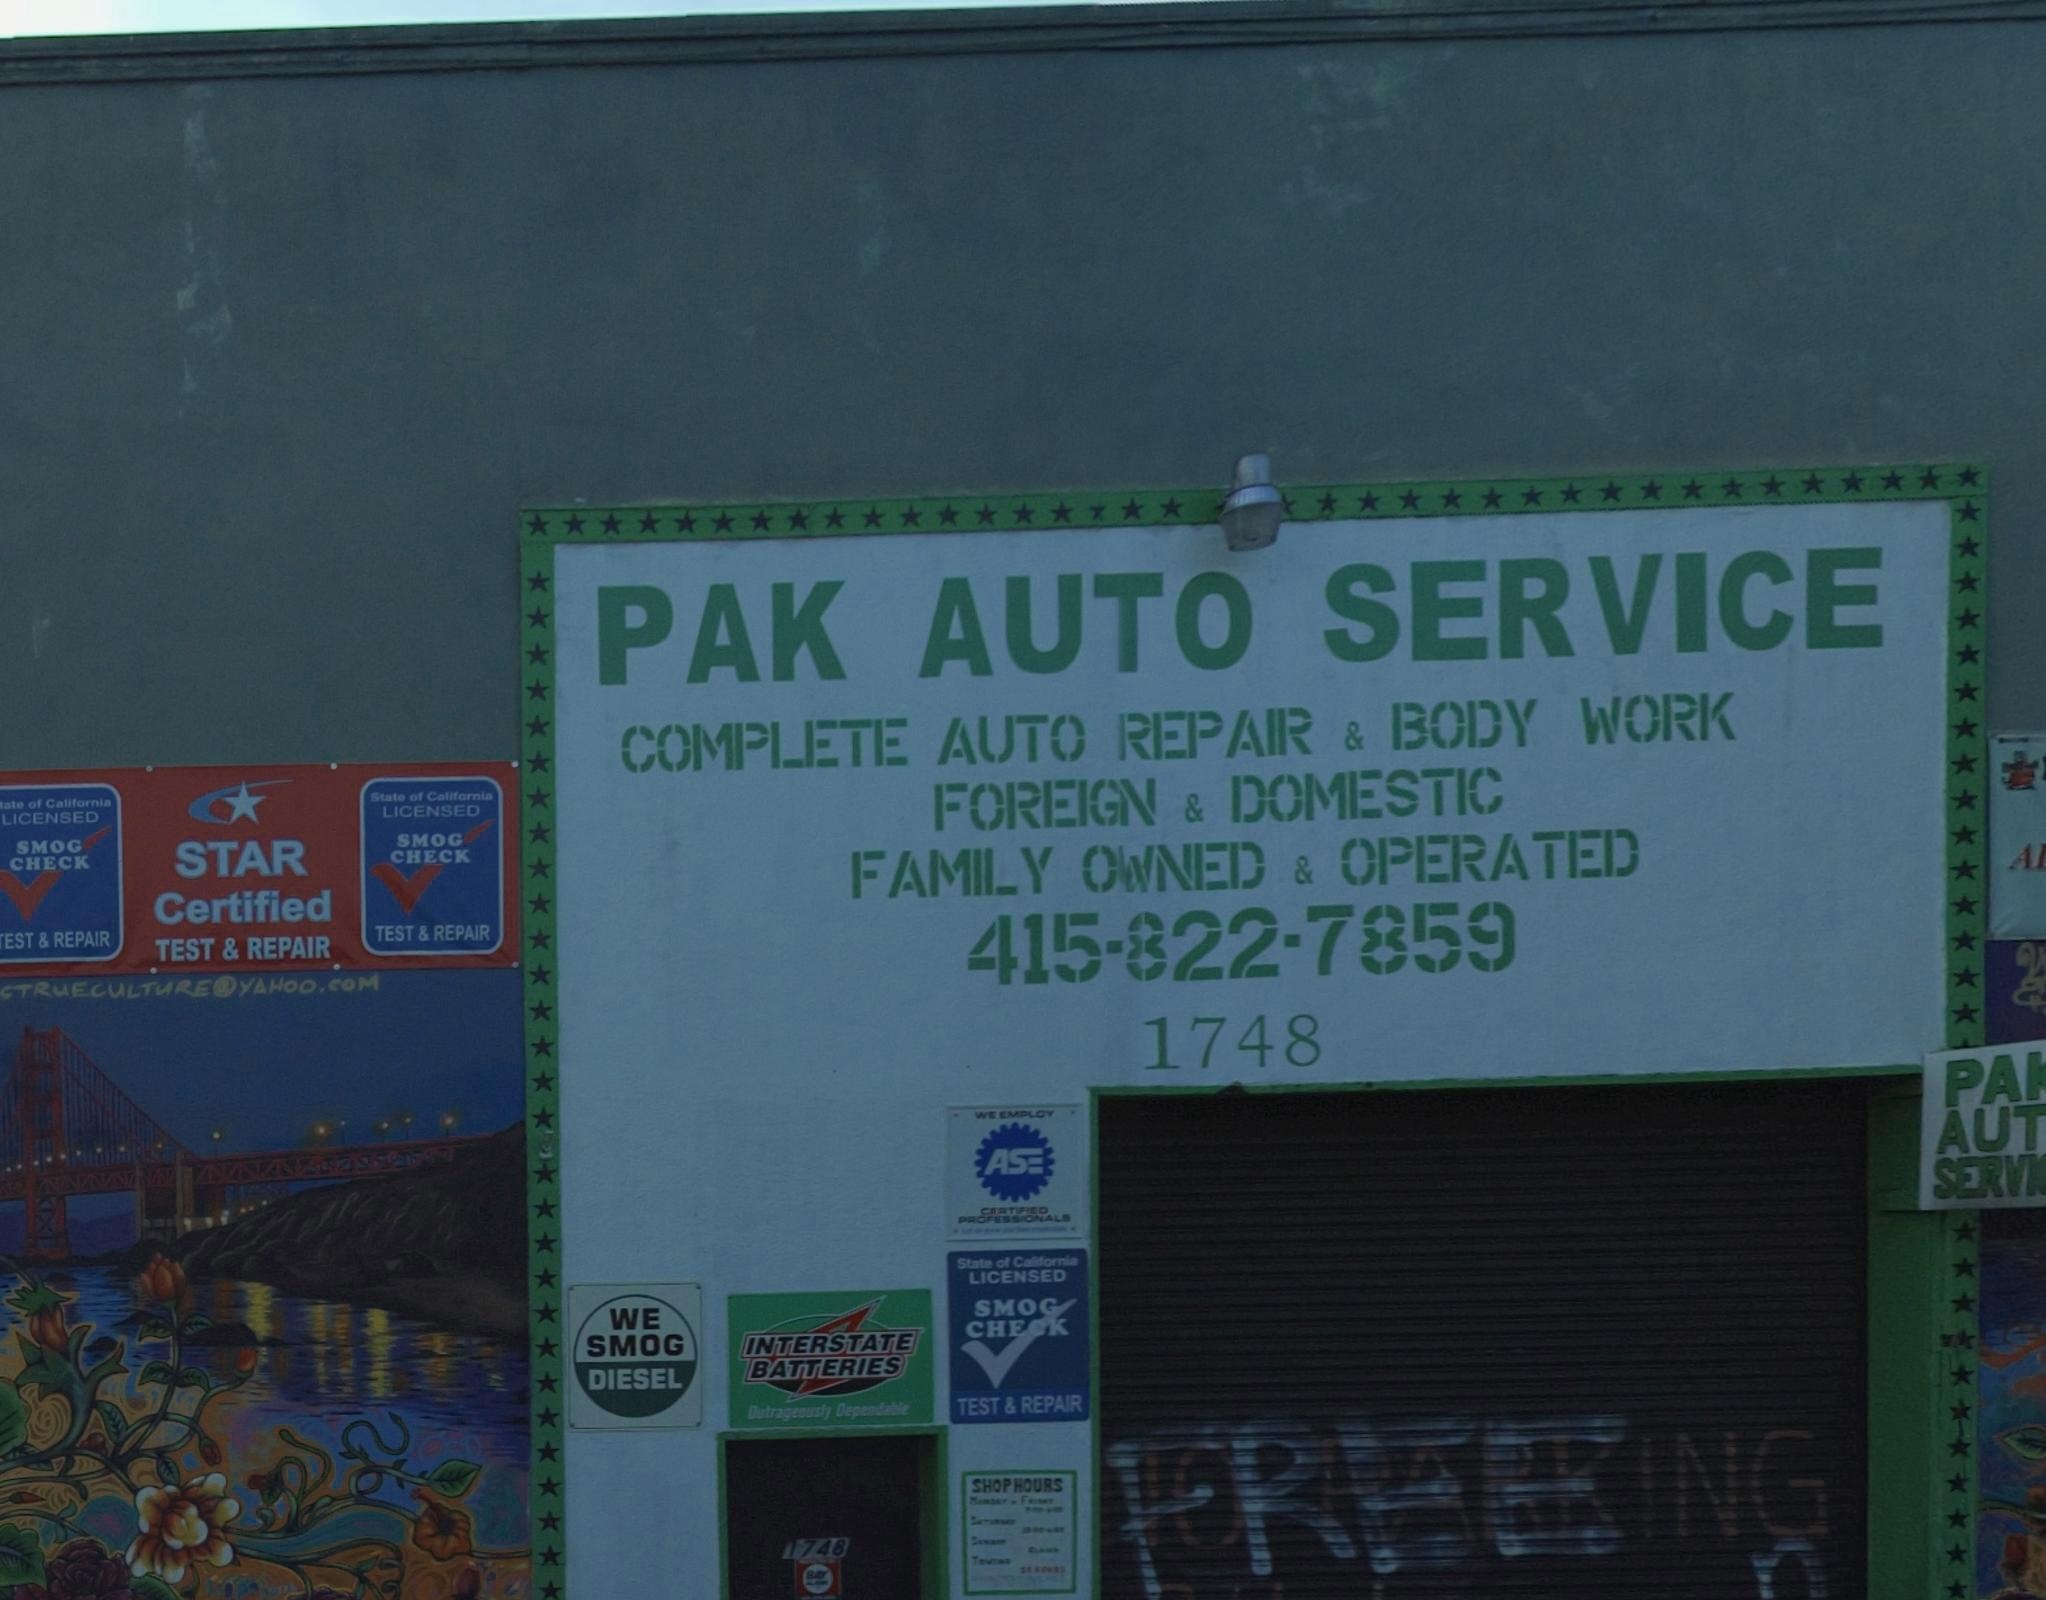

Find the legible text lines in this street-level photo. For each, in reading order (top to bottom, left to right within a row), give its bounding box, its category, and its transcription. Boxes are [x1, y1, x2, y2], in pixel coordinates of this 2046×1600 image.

[586, 538, 1893, 693] BusinessName: PAK AUTO SERVICE
[612, 682, 1751, 783] None: COMPLETE AUTO REPAIR & BODY WORK
[0, 808, 101, 828] None: LICENSED
[1, 795, 114, 811] None: ate of California
[380, 801, 483, 821] None: LICENSED
[367, 787, 498, 805] None: State of California
[924, 757, 1516, 842] None: FOREIGN & DOMESTIC
[13, 836, 85, 856] None: SMOG
[7, 852, 94, 874] None: CHECK
[168, 834, 316, 884] None: STAR
[394, 830, 466, 850] None: SMOG
[386, 846, 474, 867] None: CHECK
[843, 820, 1654, 908] None: FAMILY OWNED & OPERATED
[2000, 838, 2037, 873] None: A
[150, 885, 338, 930] None: Certified
[1, 927, 114, 953] None: EST & REPAIR
[151, 931, 336, 965] None: TEST & REPAIR
[371, 920, 494, 946] None: TEST & REPAIR
[956, 891, 1525, 992] None: 415-822-7859
[8, 968, 383, 1003] None: TRUECULTURE@YAHOO.COM
[1136, 1008, 1325, 1075] StreetNumber: 1748
[1938, 1047, 2031, 1112] BusinessName: PA
[971, 1107, 1060, 1122] None: WE EMPLOY
[1927, 1102, 2018, 1158] BusinessName: AU
[974, 1143, 1049, 1178] None: ASE
[1929, 1150, 2044, 1203] BusinessName: SERVI
[978, 1204, 1050, 1216] None: CERTIFIED
[956, 1212, 1074, 1226] None: PROFESSIONALS
[954, 1251, 1082, 1272] None: State of California
[966, 1266, 1072, 1287] None: LICENSED
[604, 1303, 666, 1333] None: WE
[583, 1330, 687, 1360] None: SMOG
[736, 1328, 923, 1358] None: INTERSTATE
[961, 1315, 1074, 1341] None: CHE*K
[971, 1294, 1066, 1319] None: SMOG
[585, 1364, 686, 1394] None: DIESEL
[742, 1354, 908, 1384] None: BATTERIES
[741, 1397, 914, 1425] None: Outrageously Dependable
[954, 1391, 1088, 1418] None: TEST & REPAIR
[968, 1474, 1069, 1496] None: SHOP HOURS
[1631, 1415, 1845, 1552] None: ING
[781, 1536, 852, 1559] StreetNumber: 1748